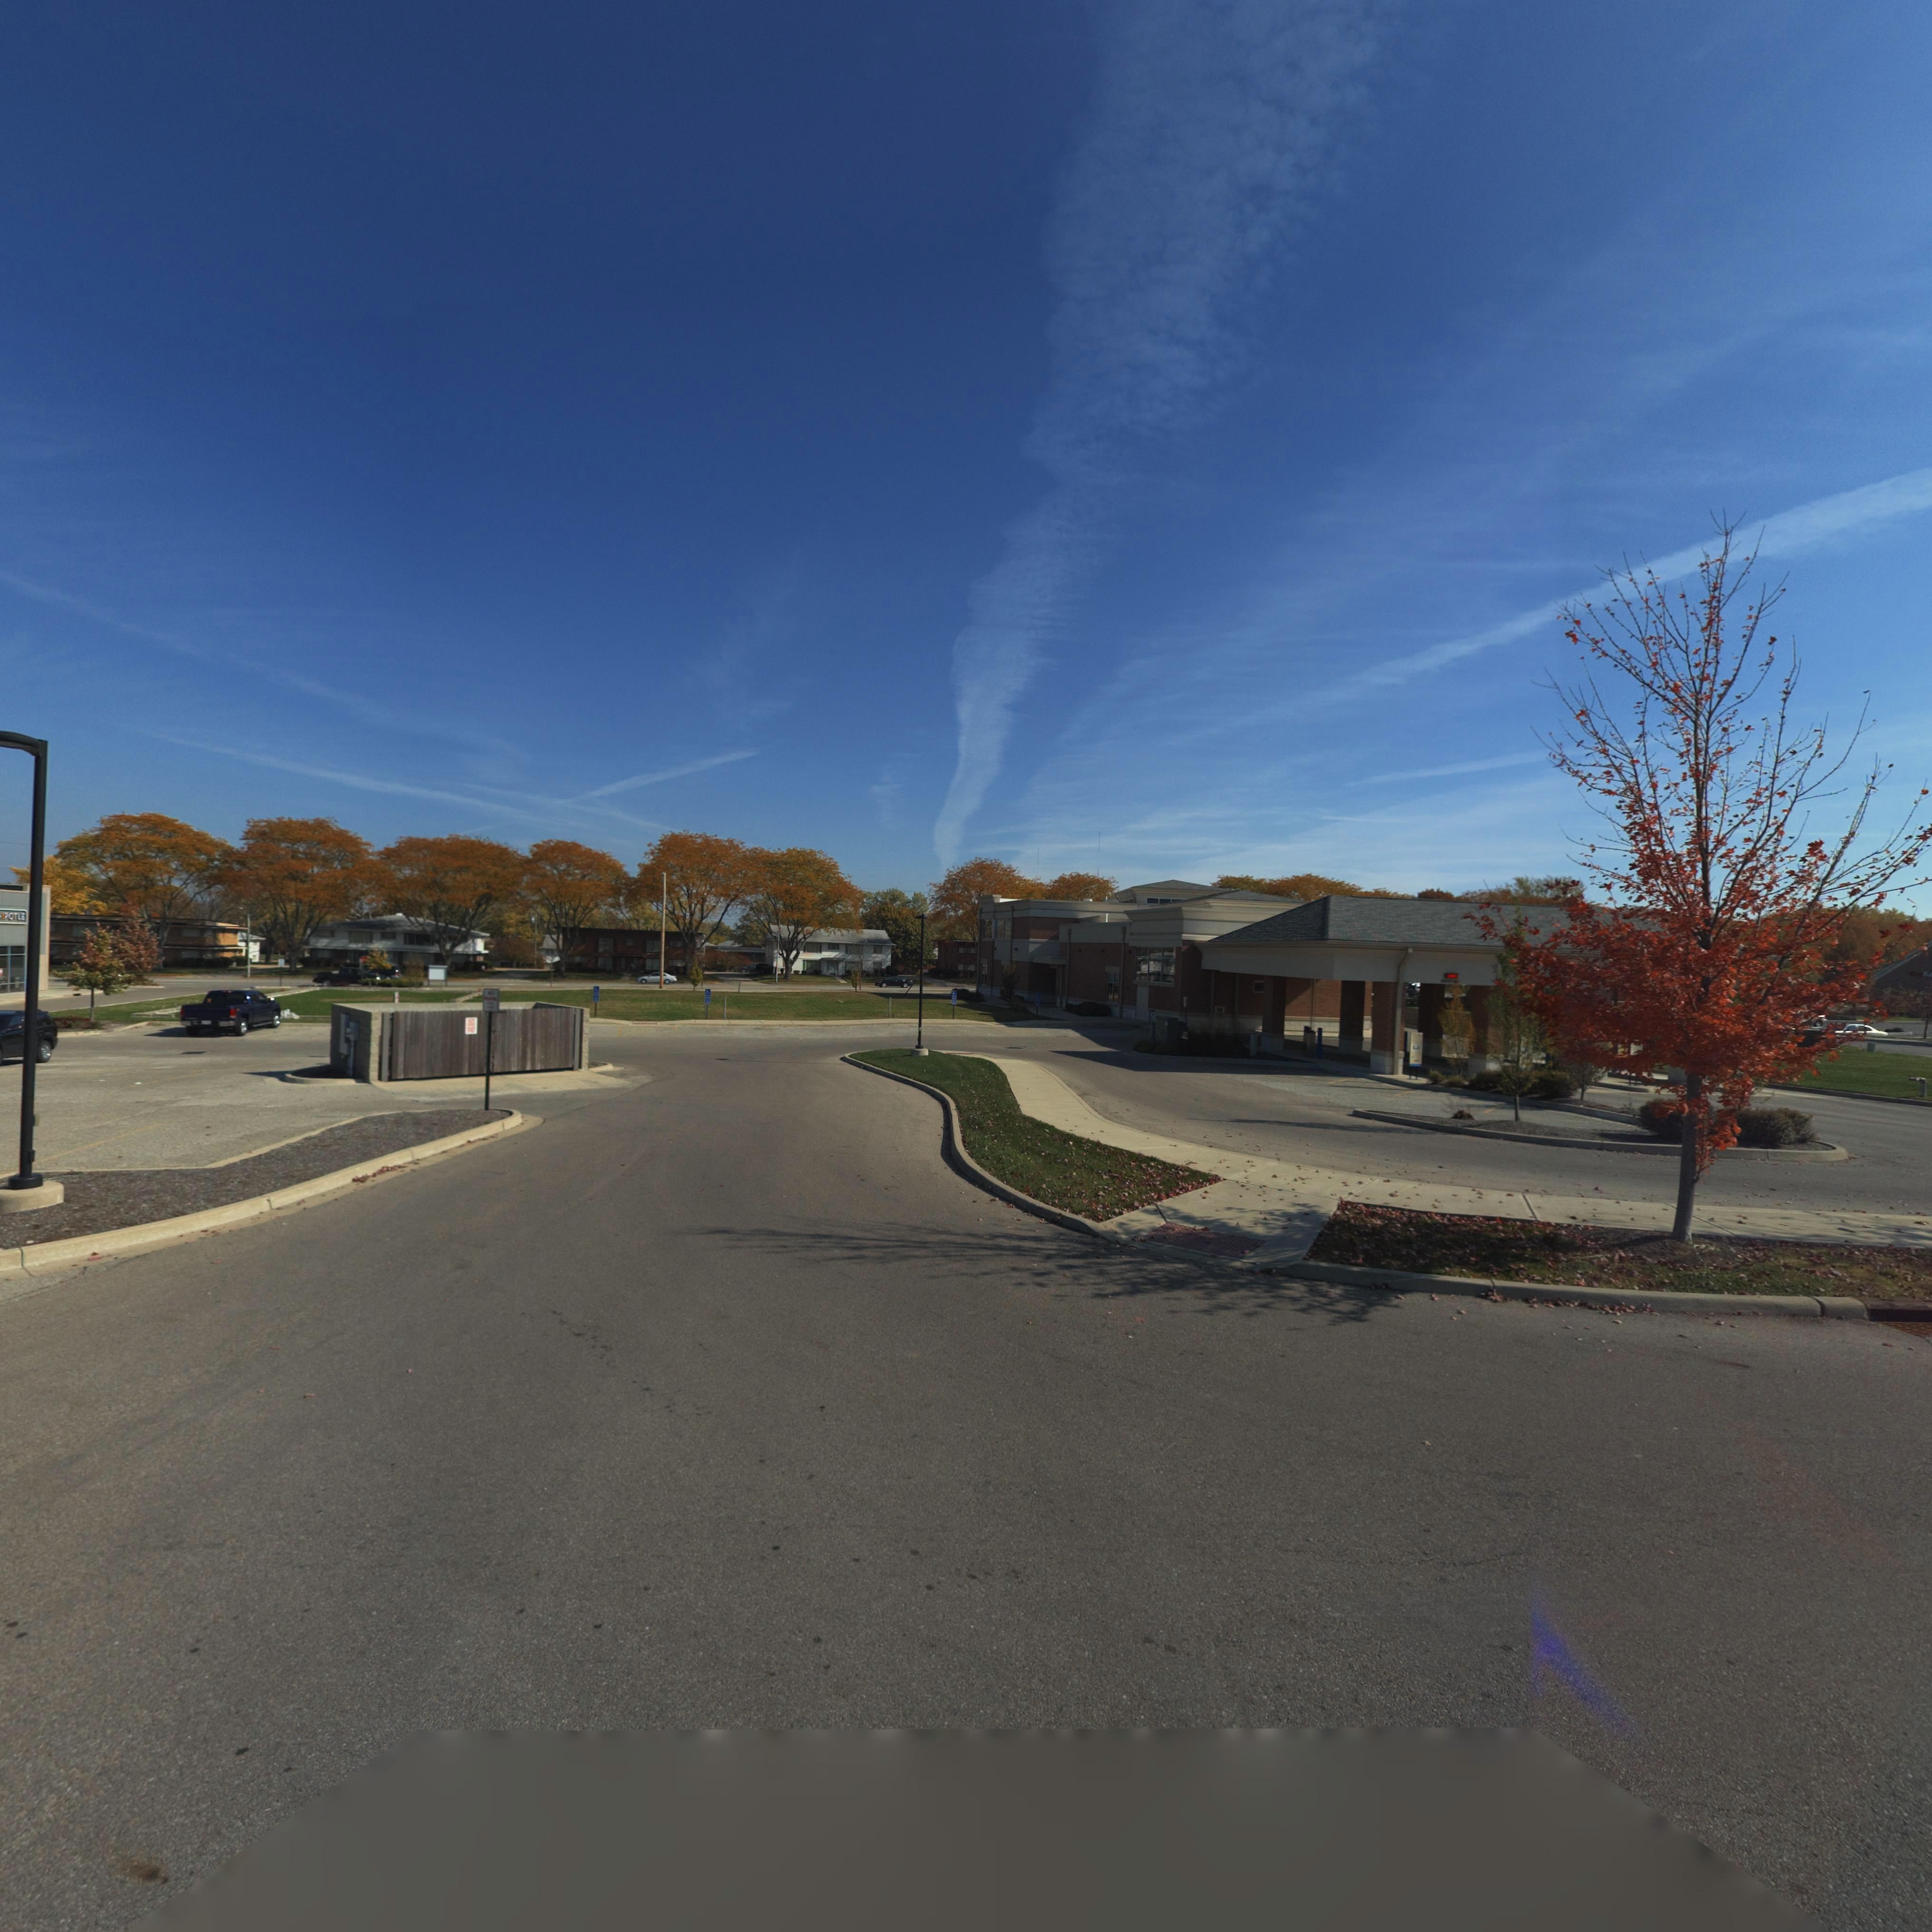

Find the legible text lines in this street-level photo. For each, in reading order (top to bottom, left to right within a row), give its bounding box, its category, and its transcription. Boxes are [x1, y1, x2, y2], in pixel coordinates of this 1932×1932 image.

[3, 912, 26, 921] BusinessName: POTLE